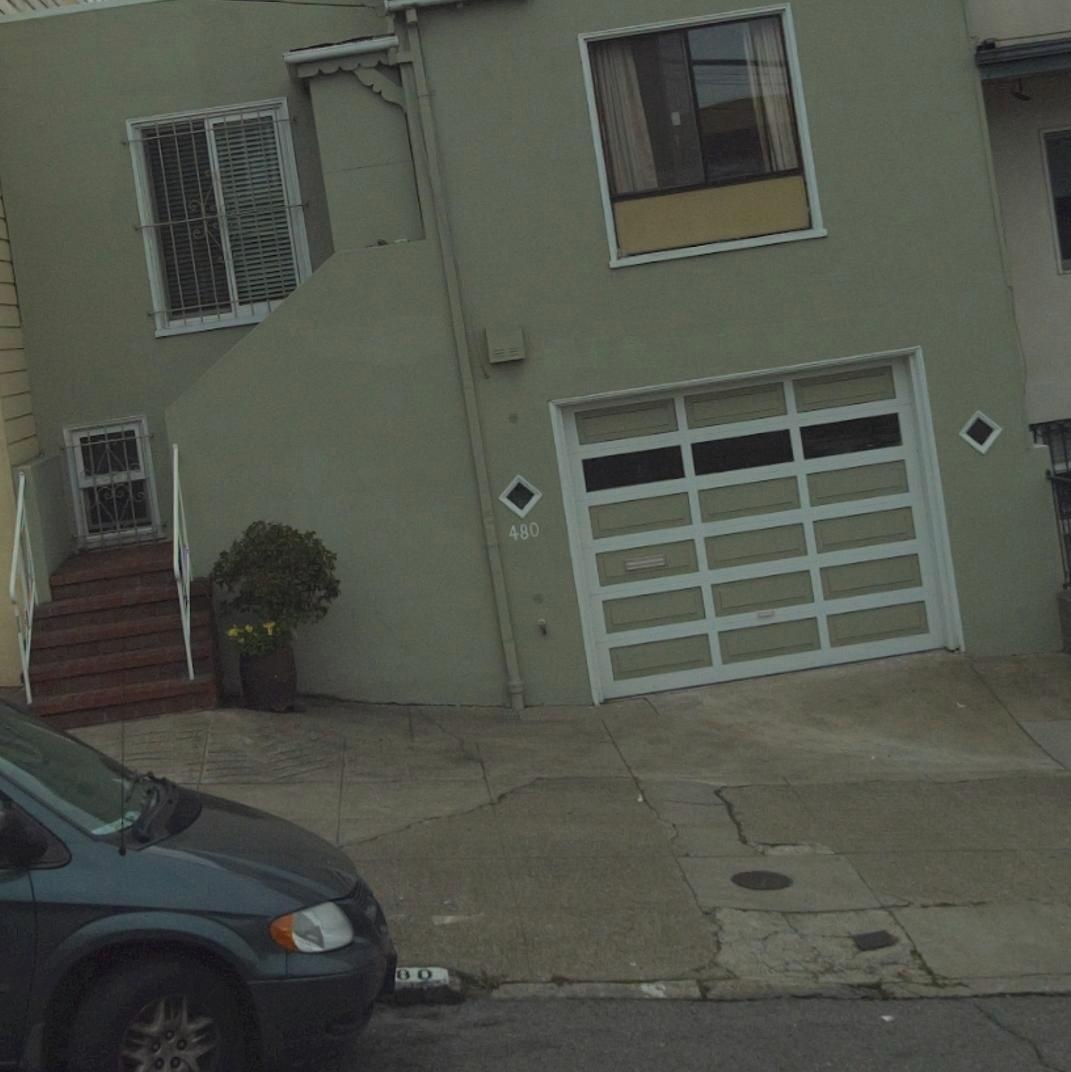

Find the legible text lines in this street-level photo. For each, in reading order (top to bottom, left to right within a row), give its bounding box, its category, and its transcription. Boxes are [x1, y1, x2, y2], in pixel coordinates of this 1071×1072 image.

[508, 519, 542, 544] StreetNumber: 480
[395, 967, 437, 982] StreetNumber: 80